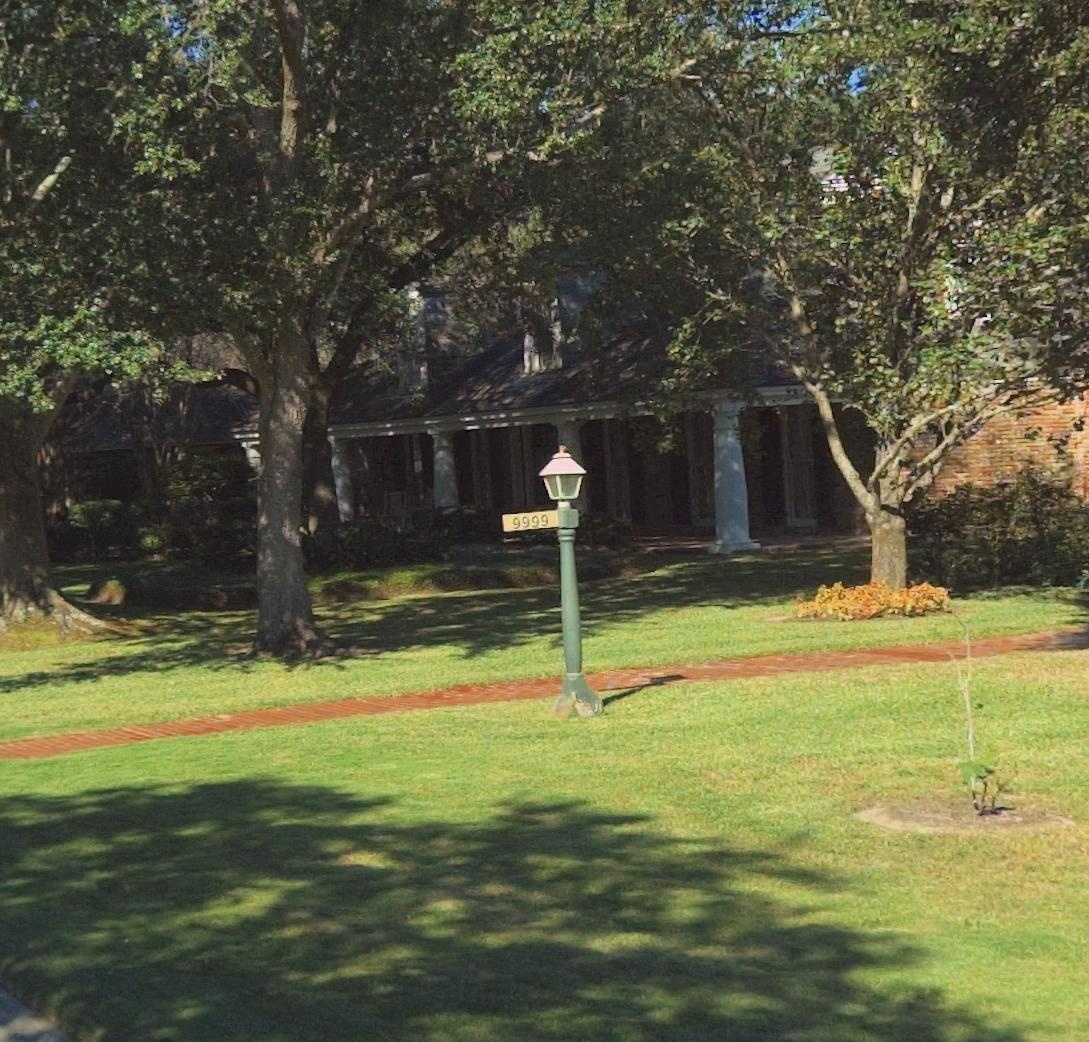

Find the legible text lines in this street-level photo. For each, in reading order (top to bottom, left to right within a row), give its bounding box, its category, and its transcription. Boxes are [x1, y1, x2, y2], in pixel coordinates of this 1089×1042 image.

[510, 511, 550, 532] StreetNumber: 9999